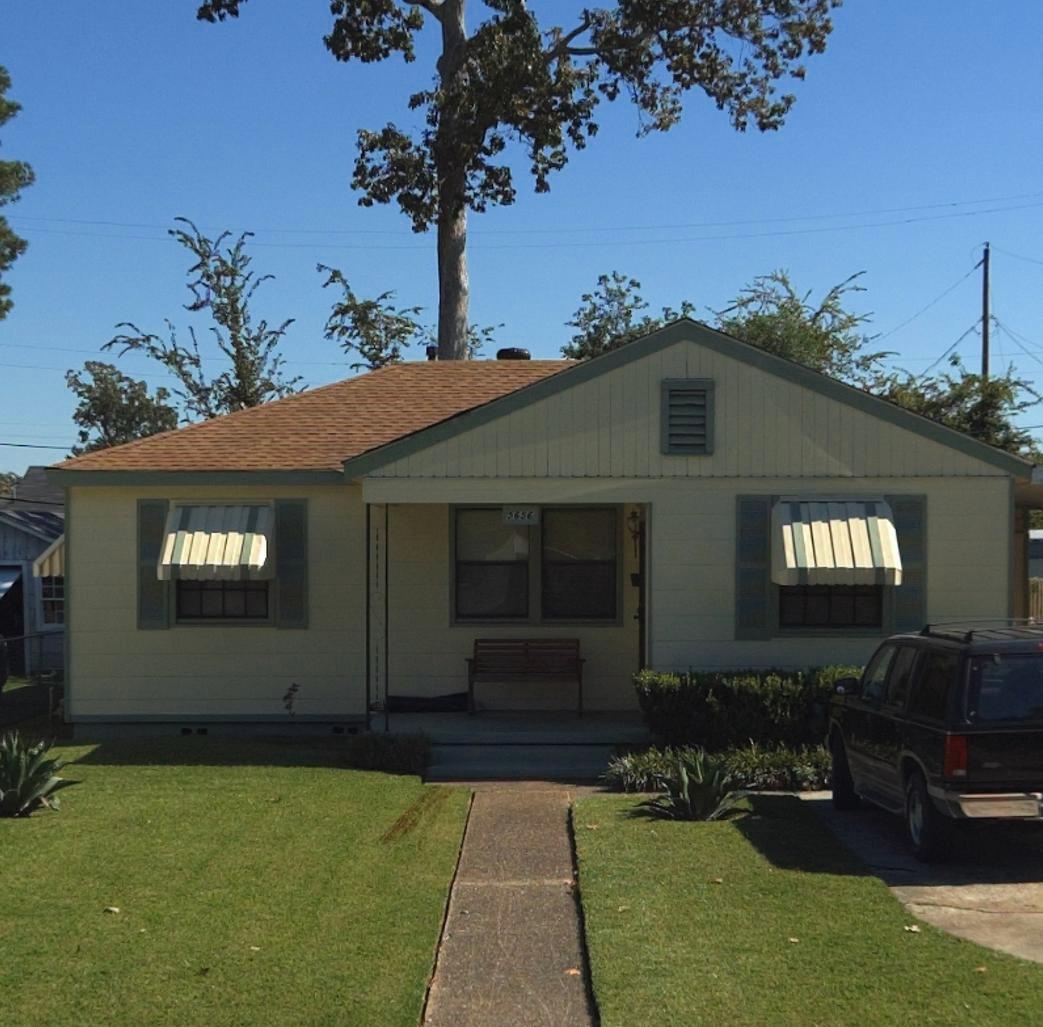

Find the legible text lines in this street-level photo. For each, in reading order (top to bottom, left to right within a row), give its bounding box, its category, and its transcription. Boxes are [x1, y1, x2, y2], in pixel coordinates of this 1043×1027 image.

[506, 510, 535, 521] StreetNumber: 5656